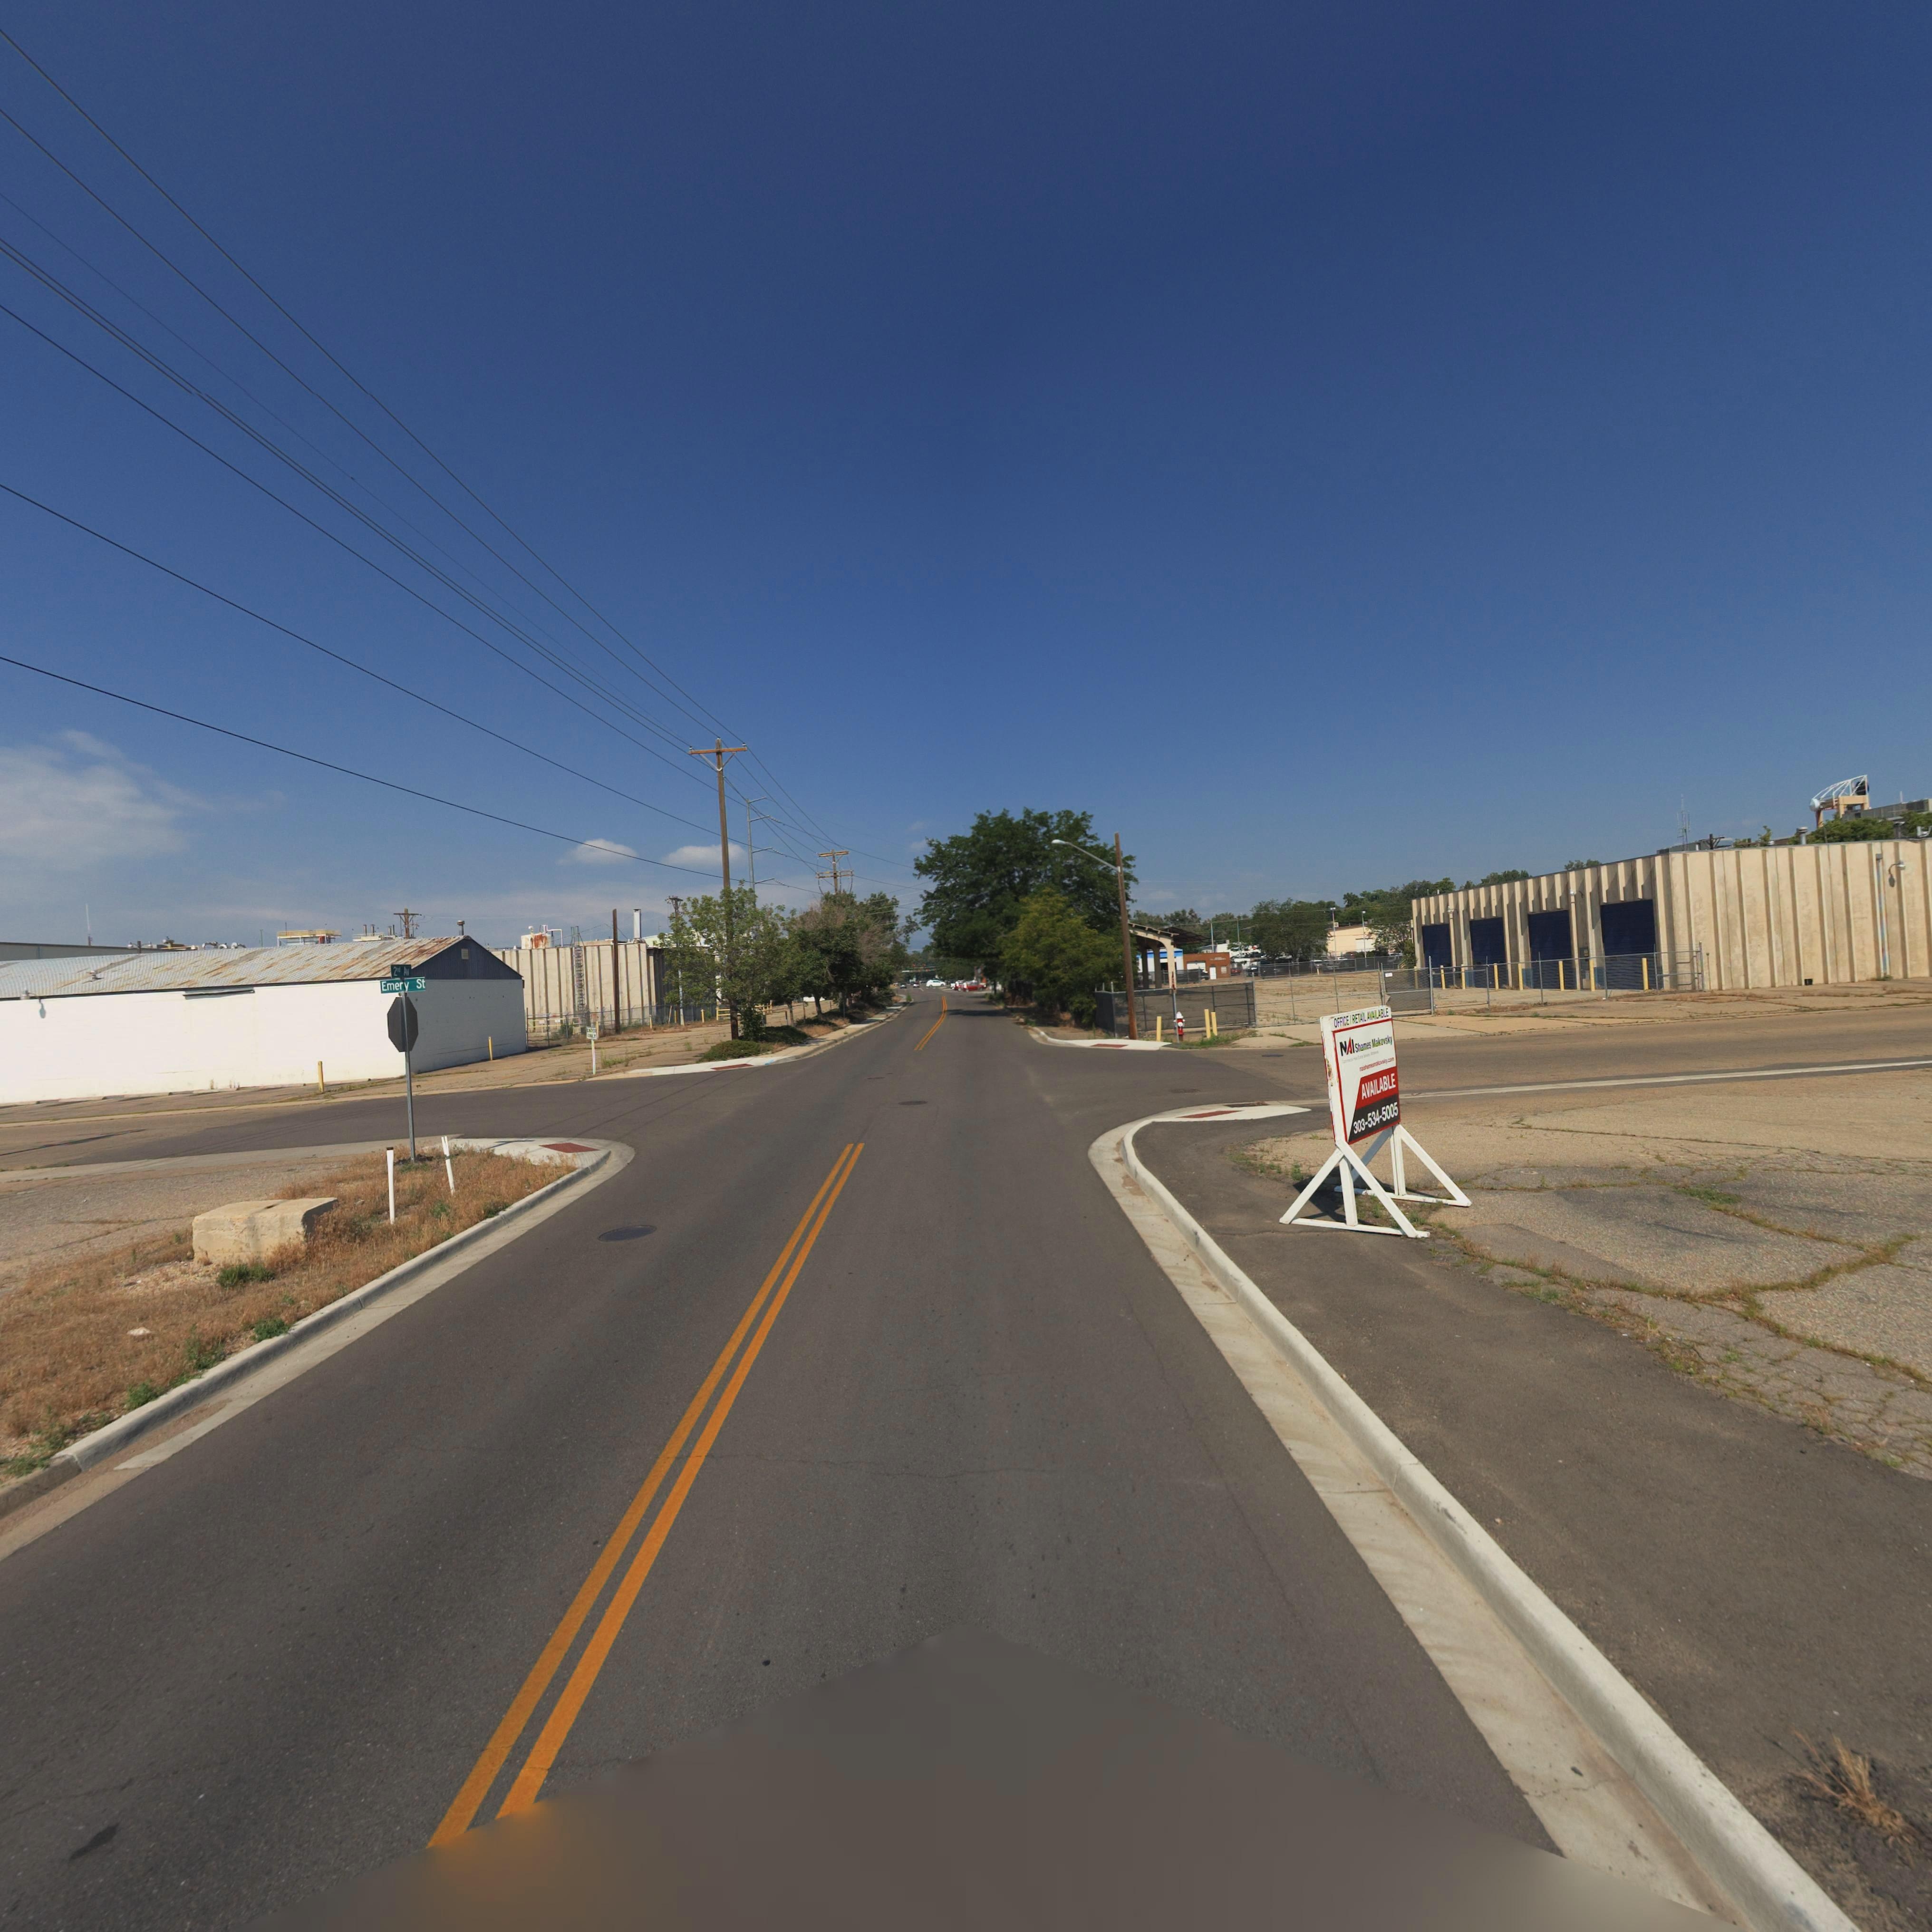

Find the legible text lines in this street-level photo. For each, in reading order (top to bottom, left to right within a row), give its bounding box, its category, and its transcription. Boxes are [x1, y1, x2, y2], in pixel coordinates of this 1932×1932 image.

[392, 966, 410, 976] StreetName: 2nd Av
[380, 978, 425, 992] StreetName: Emery St